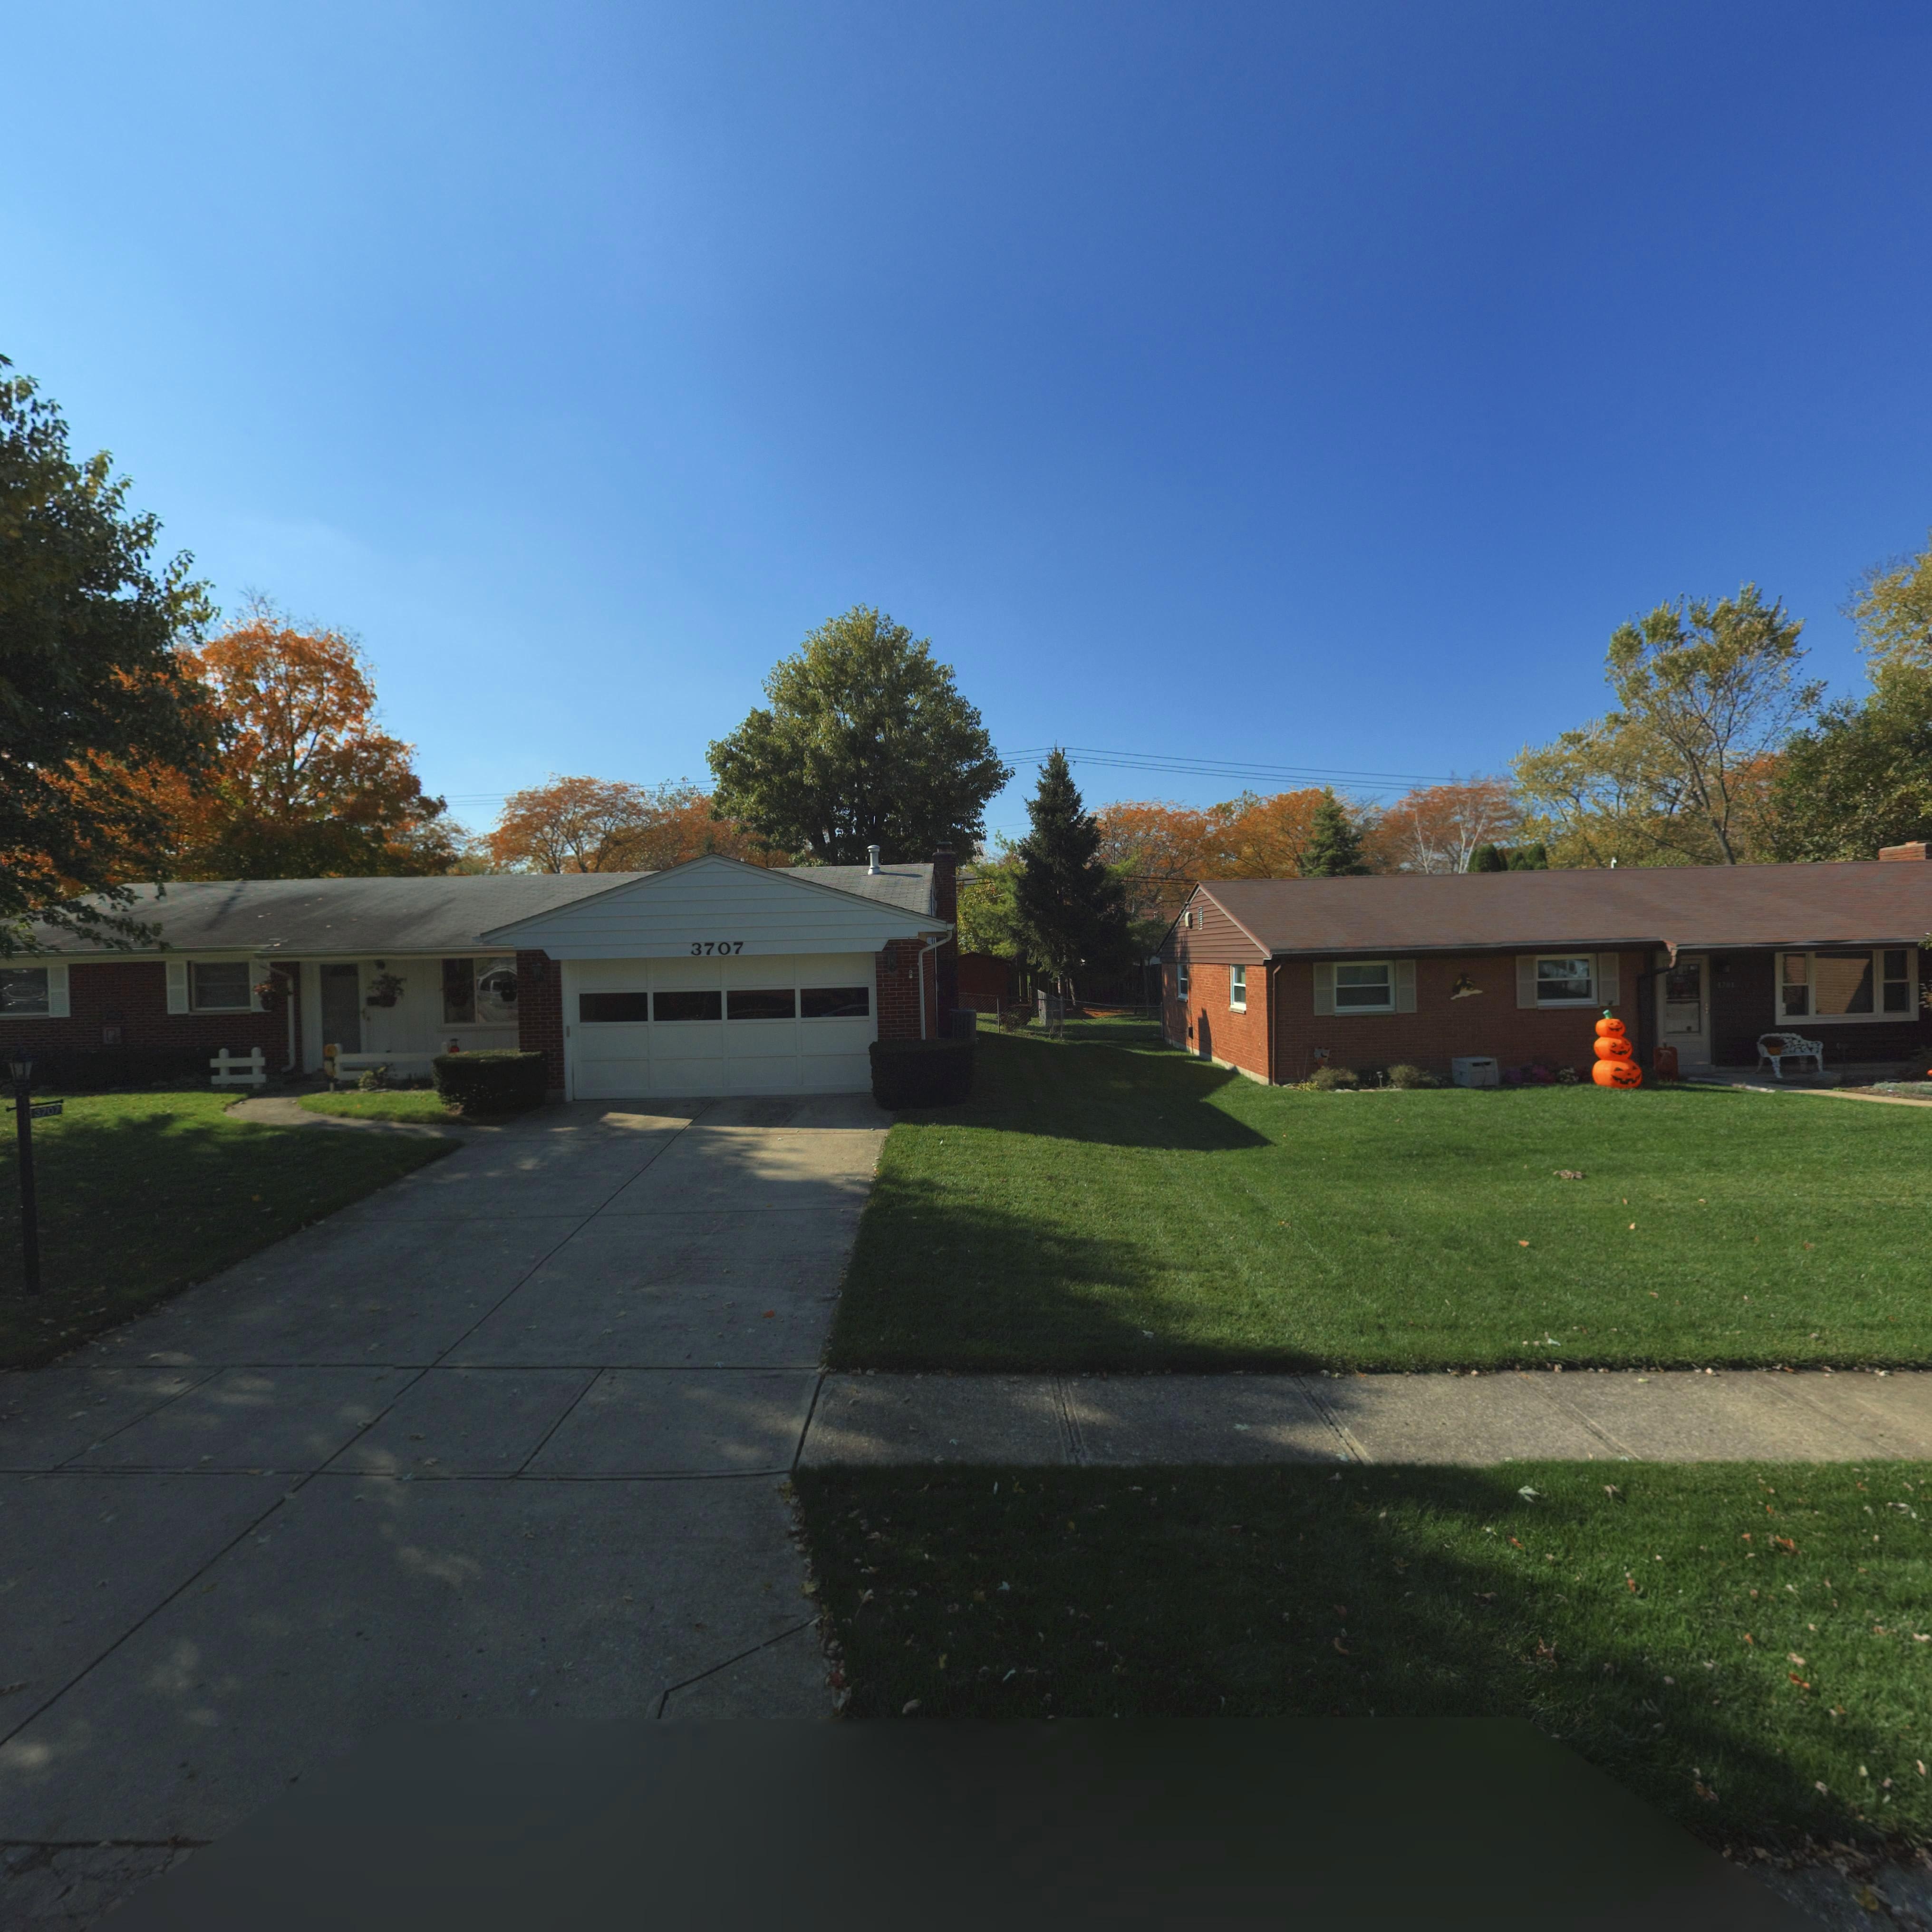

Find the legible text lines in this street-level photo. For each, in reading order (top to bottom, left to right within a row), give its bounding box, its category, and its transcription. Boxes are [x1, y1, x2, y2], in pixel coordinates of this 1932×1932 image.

[689, 940, 745, 957] StreetNumber: 3707
[33, 1104, 62, 1119] StreetNumber: 3707